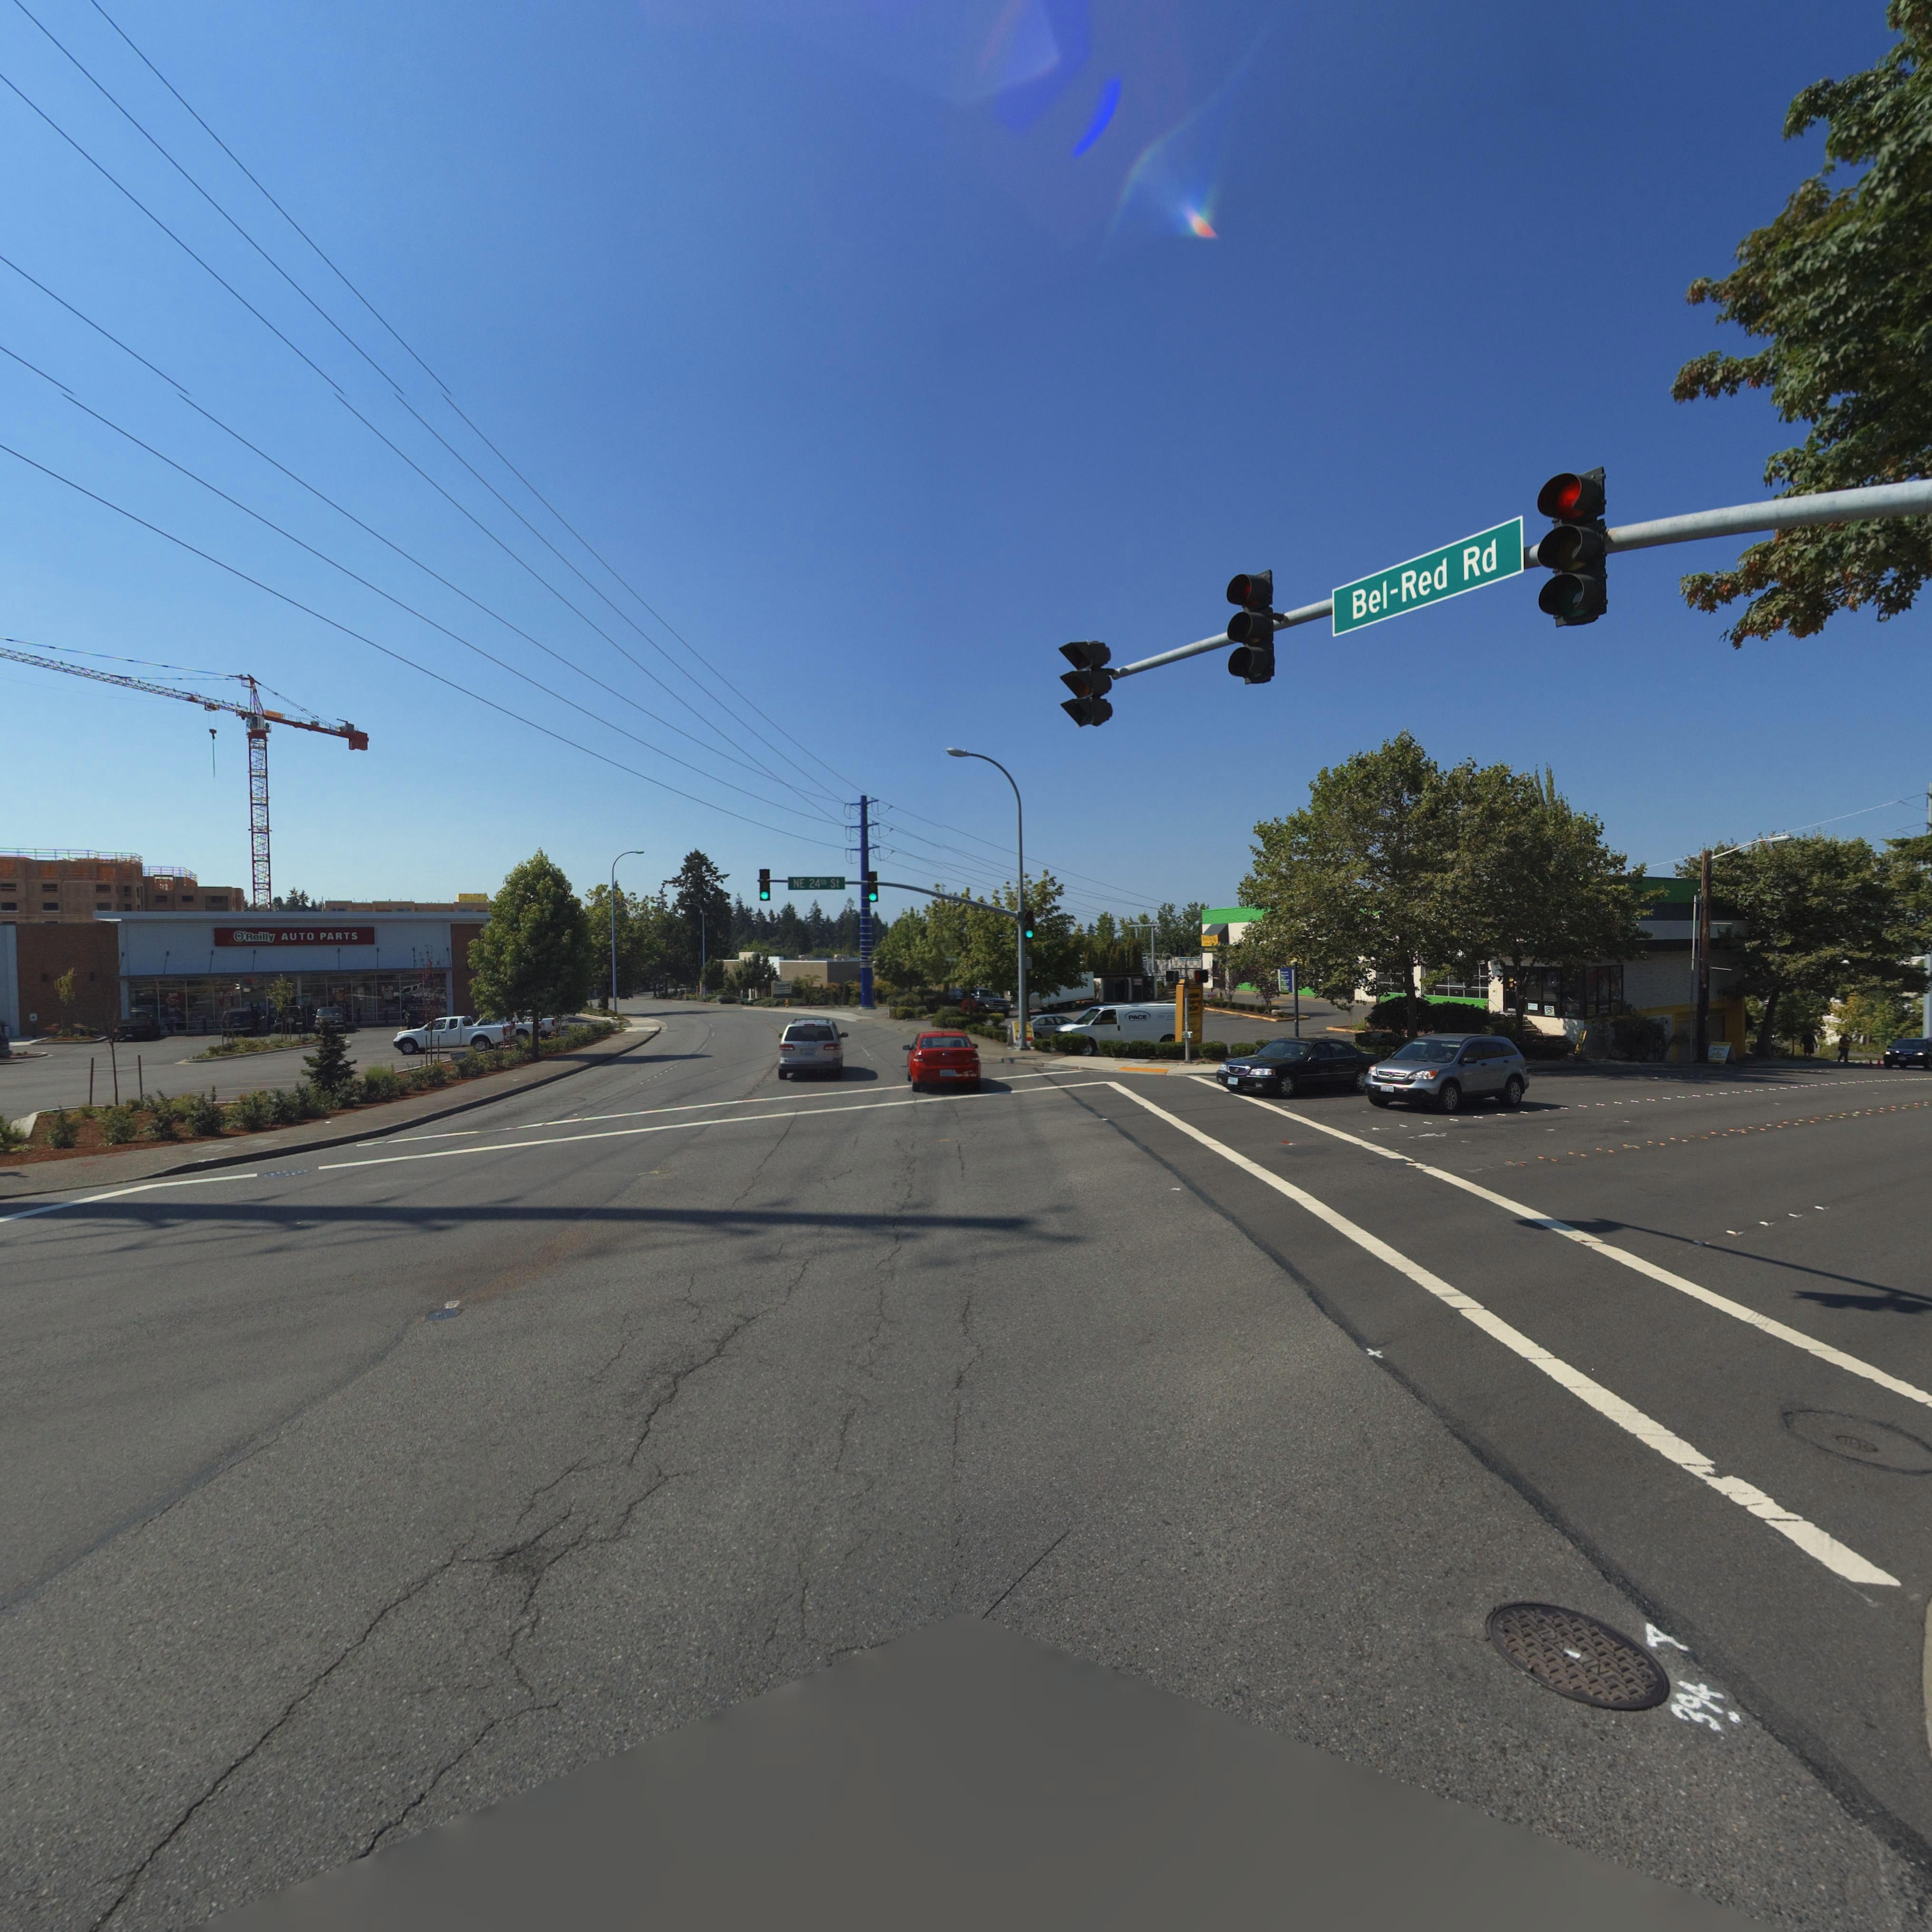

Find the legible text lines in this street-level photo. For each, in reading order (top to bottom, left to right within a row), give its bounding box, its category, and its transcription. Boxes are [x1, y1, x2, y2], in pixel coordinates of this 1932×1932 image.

[1348, 533, 1506, 622] StreetName: Bel-Red Rd
[793, 879, 839, 888] StreetName: NE 24th st
[232, 928, 360, 941] StreetName: O'